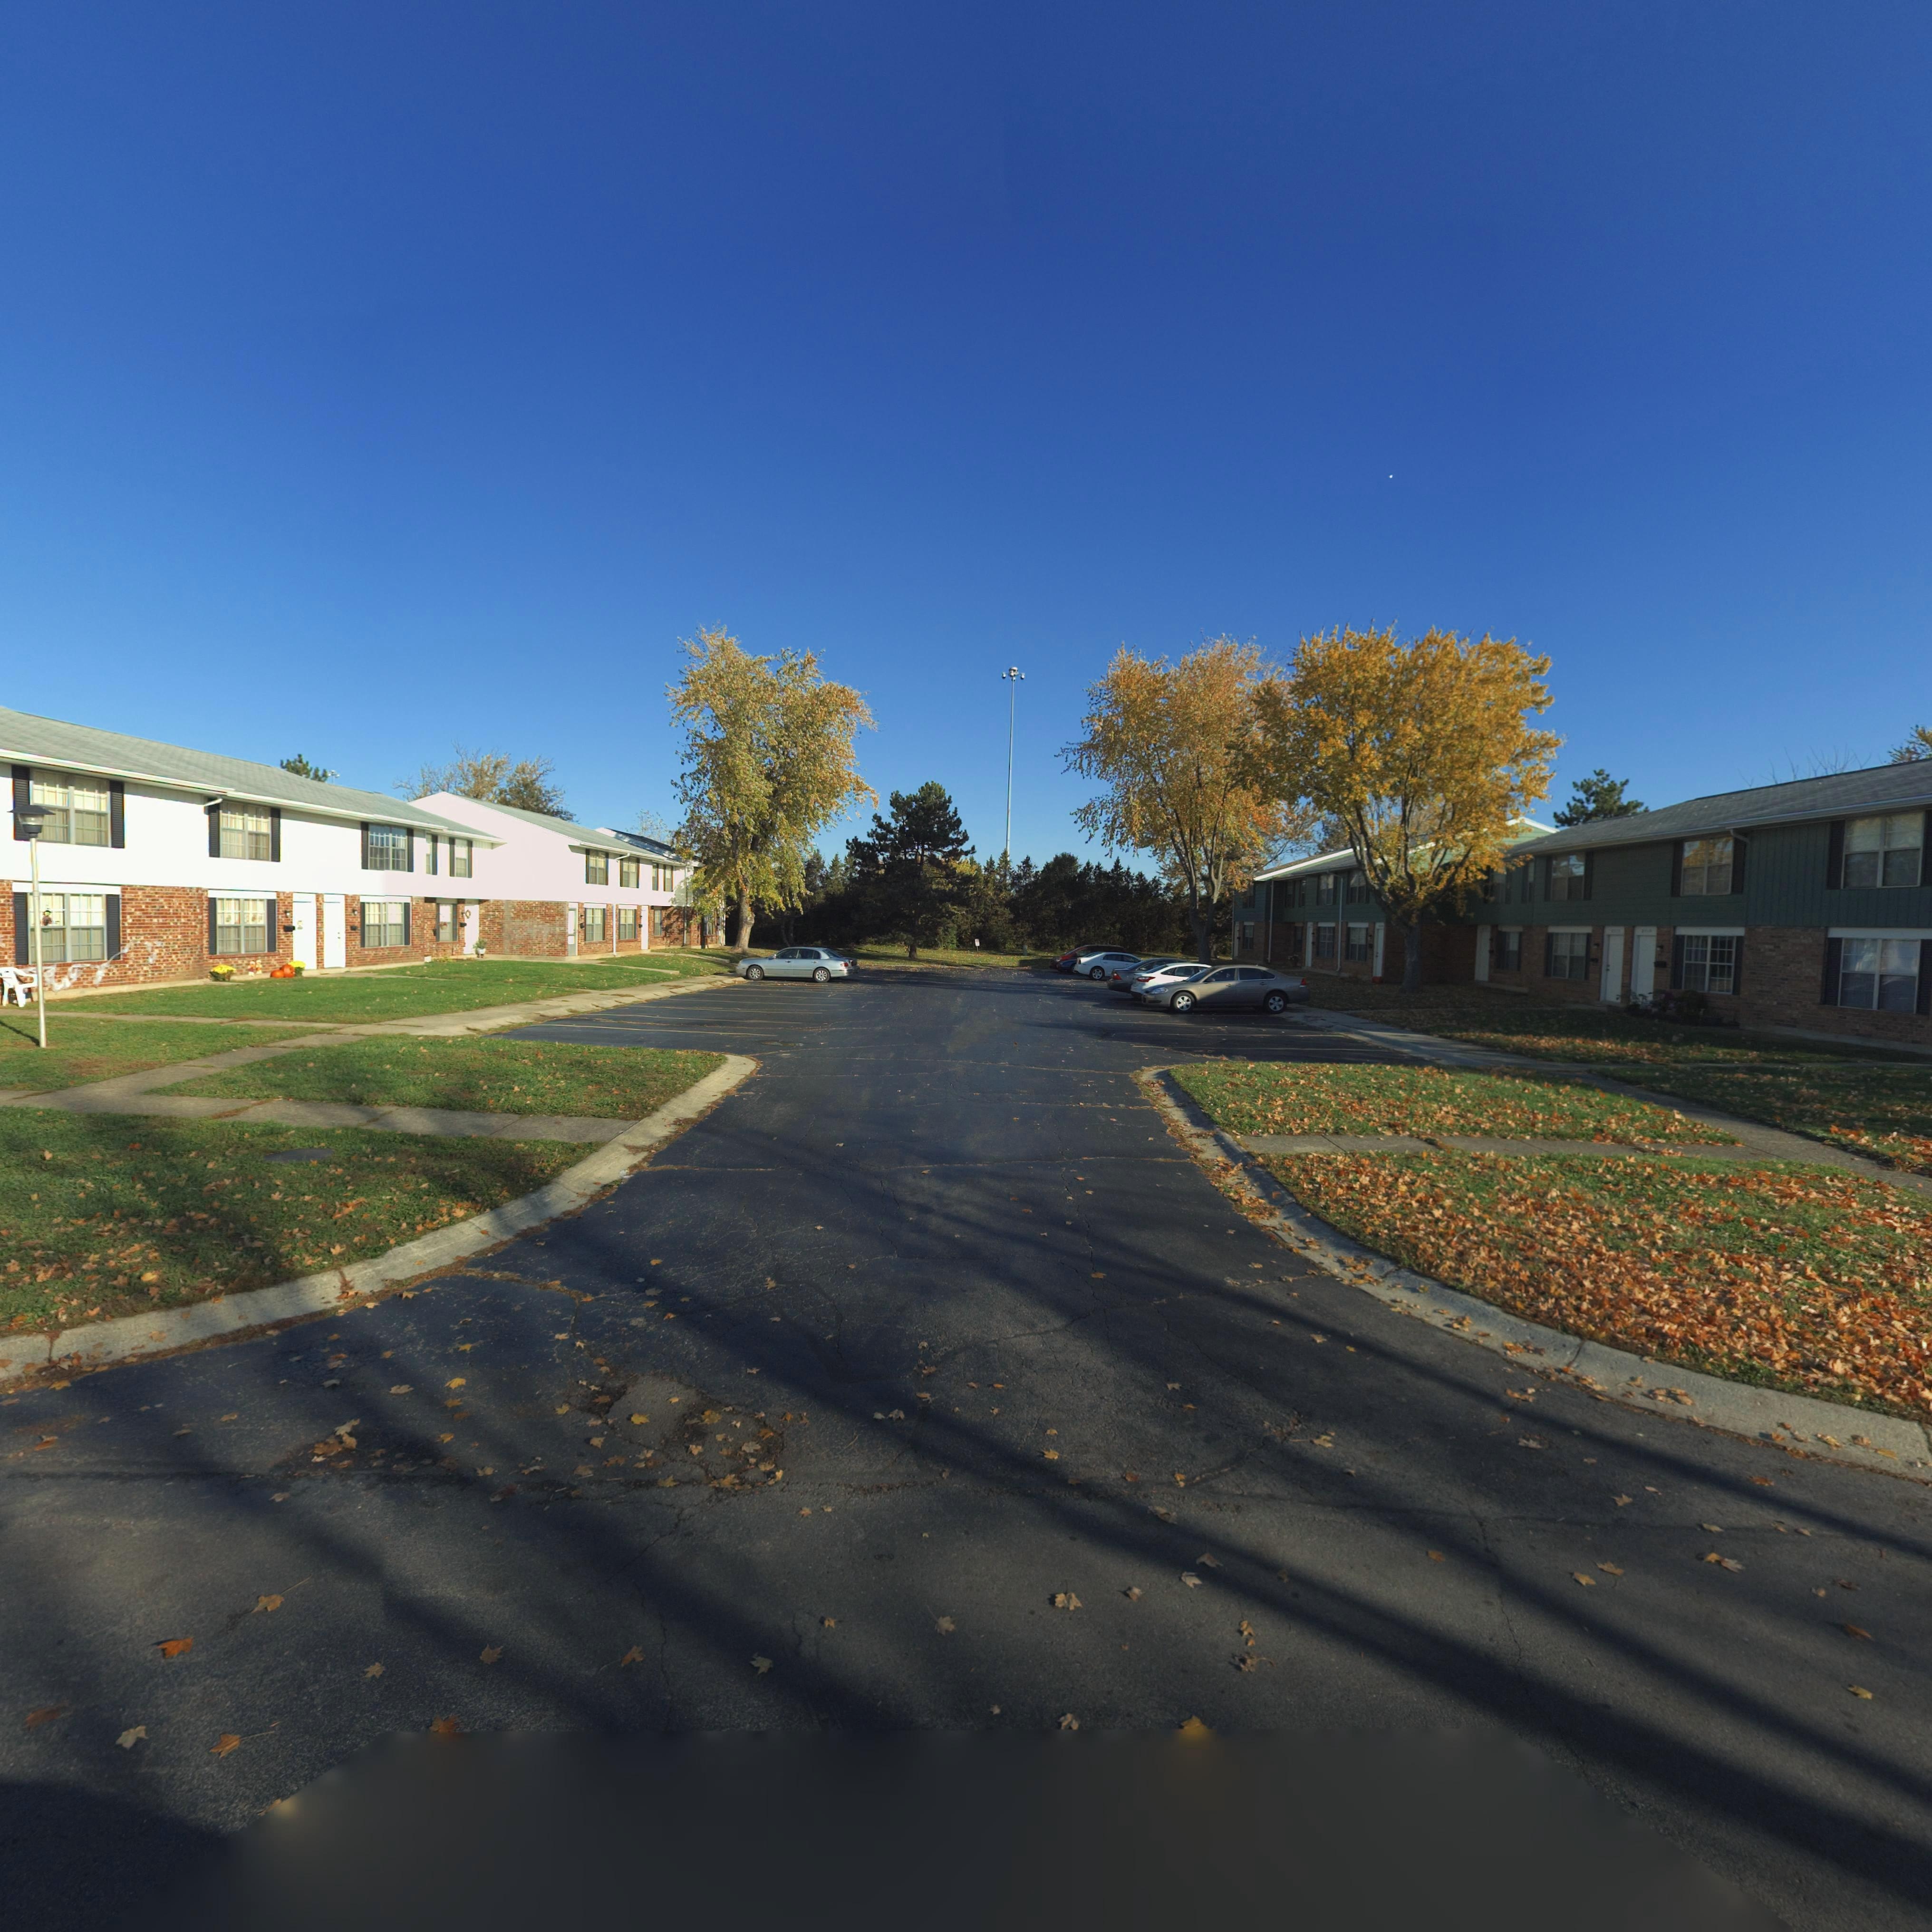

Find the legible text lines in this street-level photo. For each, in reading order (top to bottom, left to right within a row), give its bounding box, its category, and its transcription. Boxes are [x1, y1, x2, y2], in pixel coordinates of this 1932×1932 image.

[1641, 929, 1643, 933] StreetNumber: 8